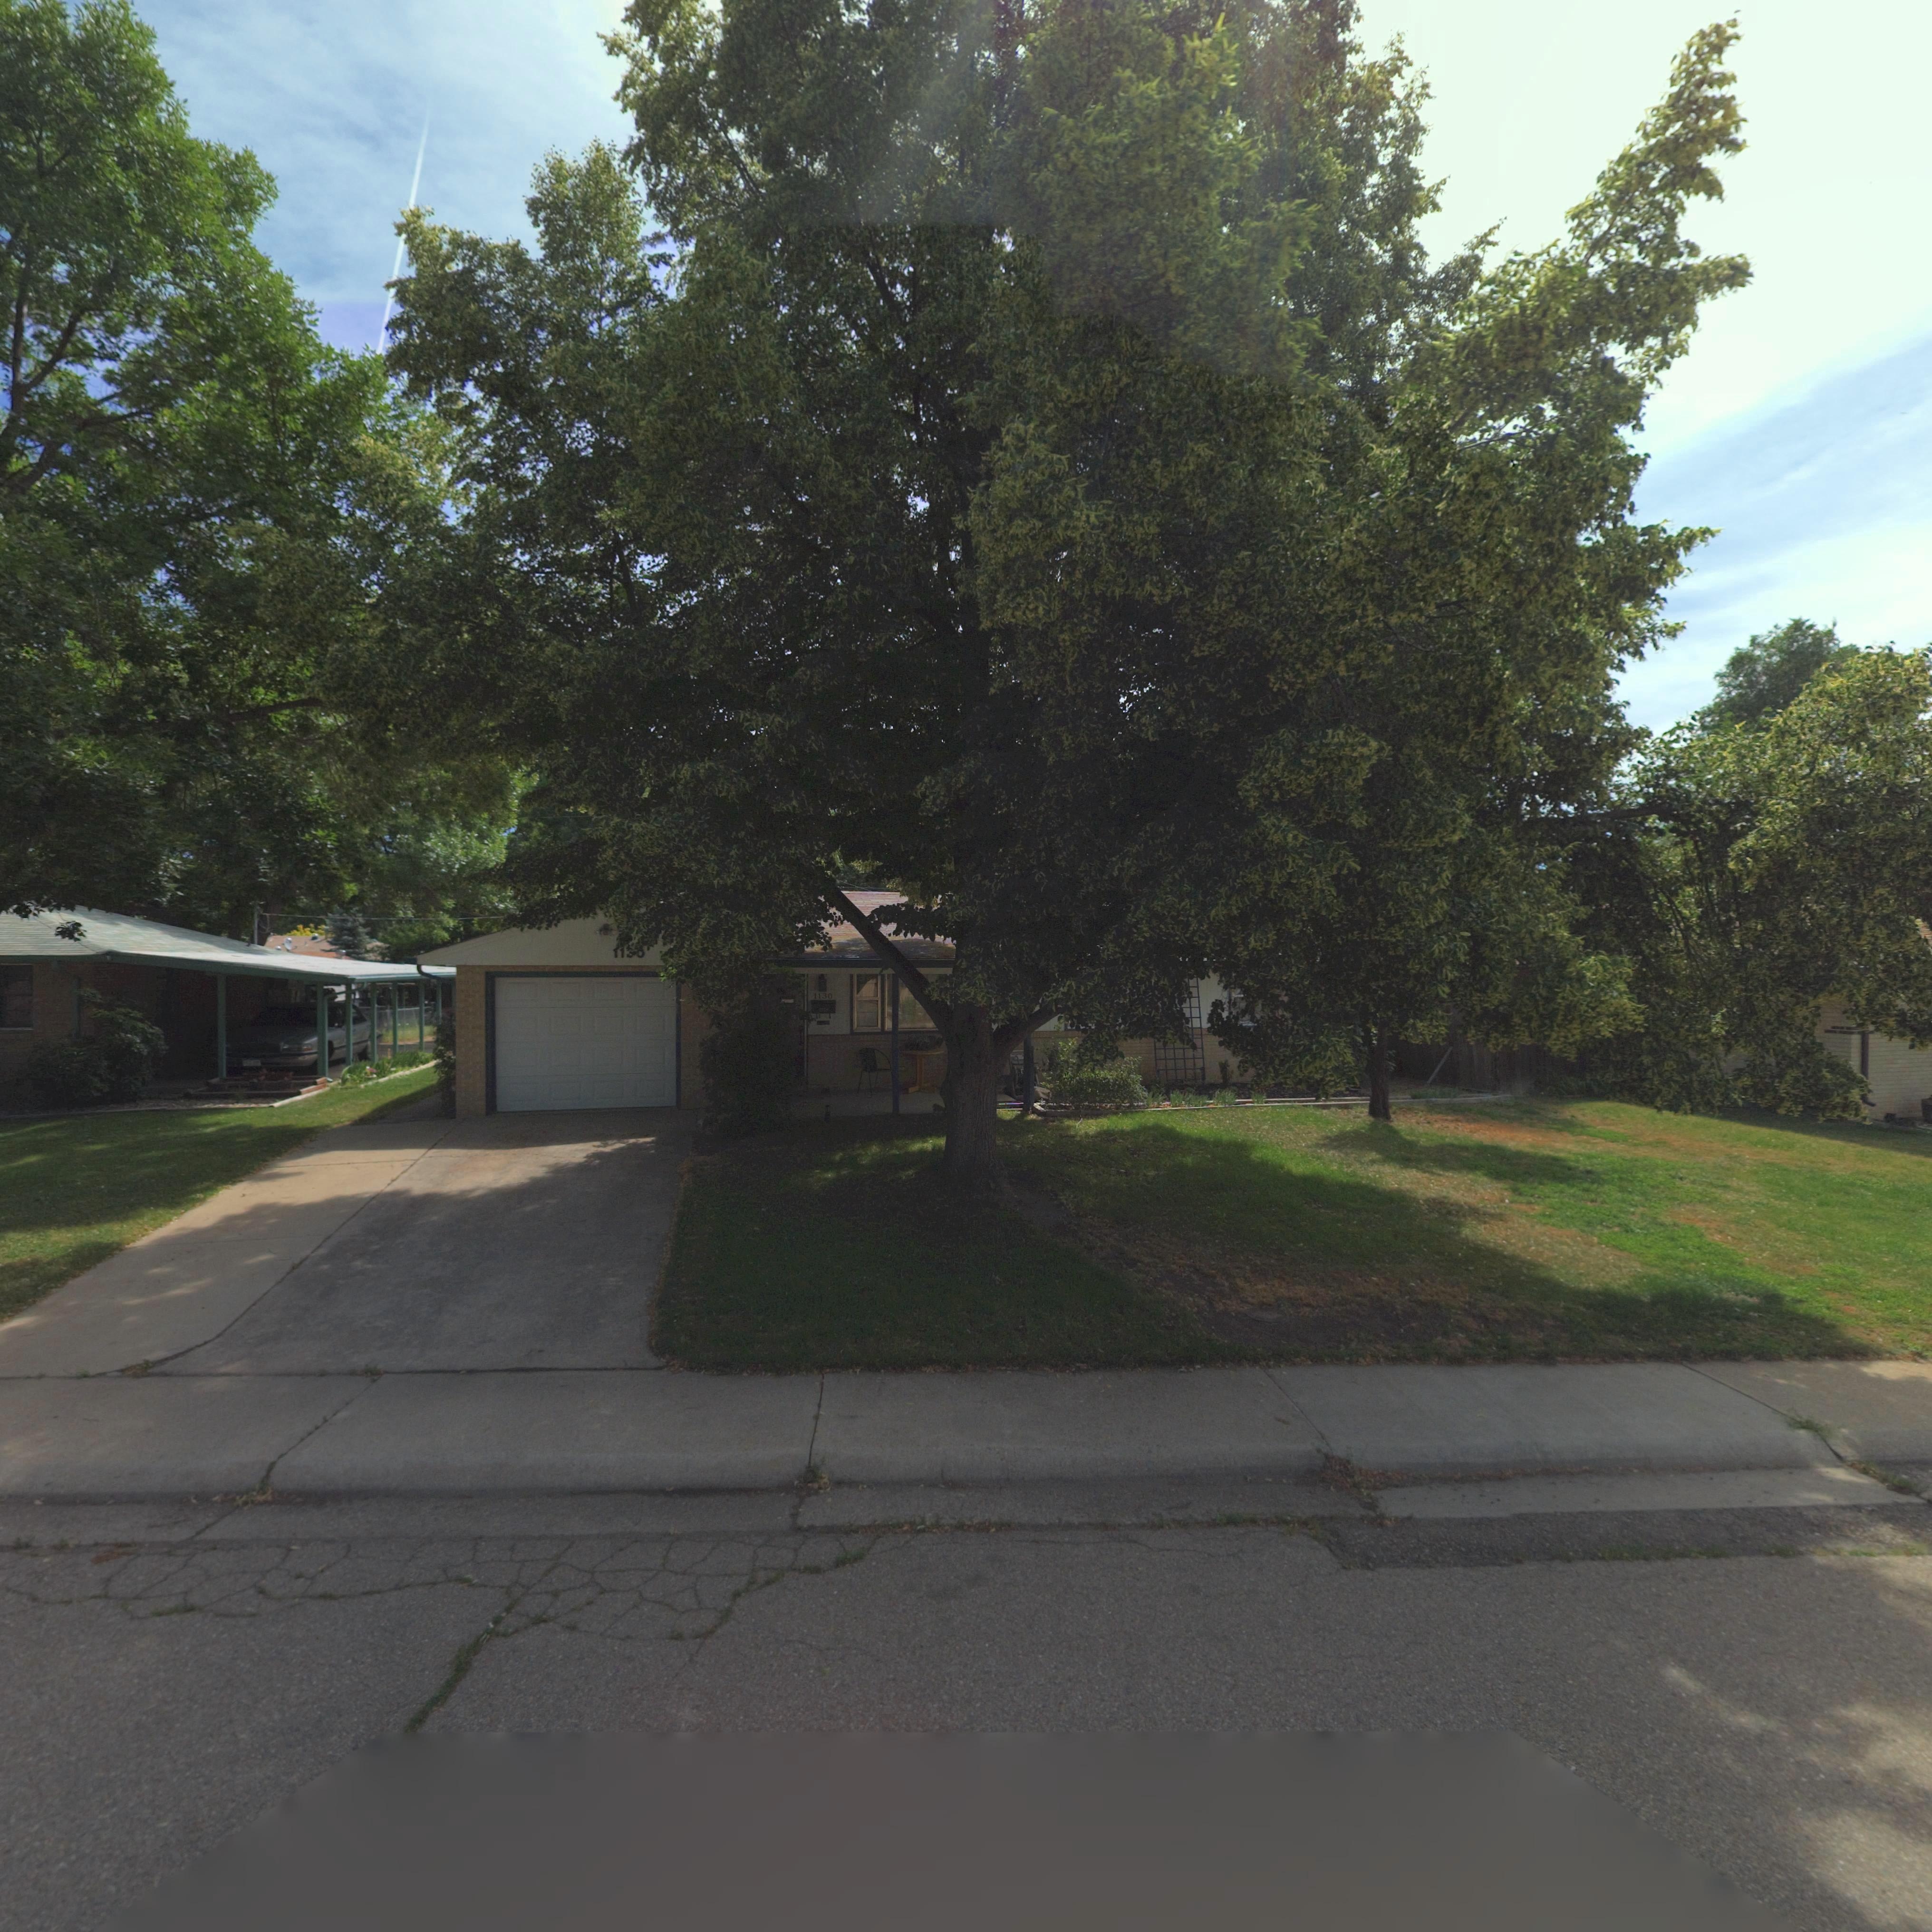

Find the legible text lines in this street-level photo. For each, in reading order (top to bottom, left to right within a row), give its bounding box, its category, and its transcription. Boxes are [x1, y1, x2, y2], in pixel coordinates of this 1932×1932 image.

[612, 945, 645, 958] StreetNumber: 11**
[814, 993, 833, 999] StreetNumber: 1130